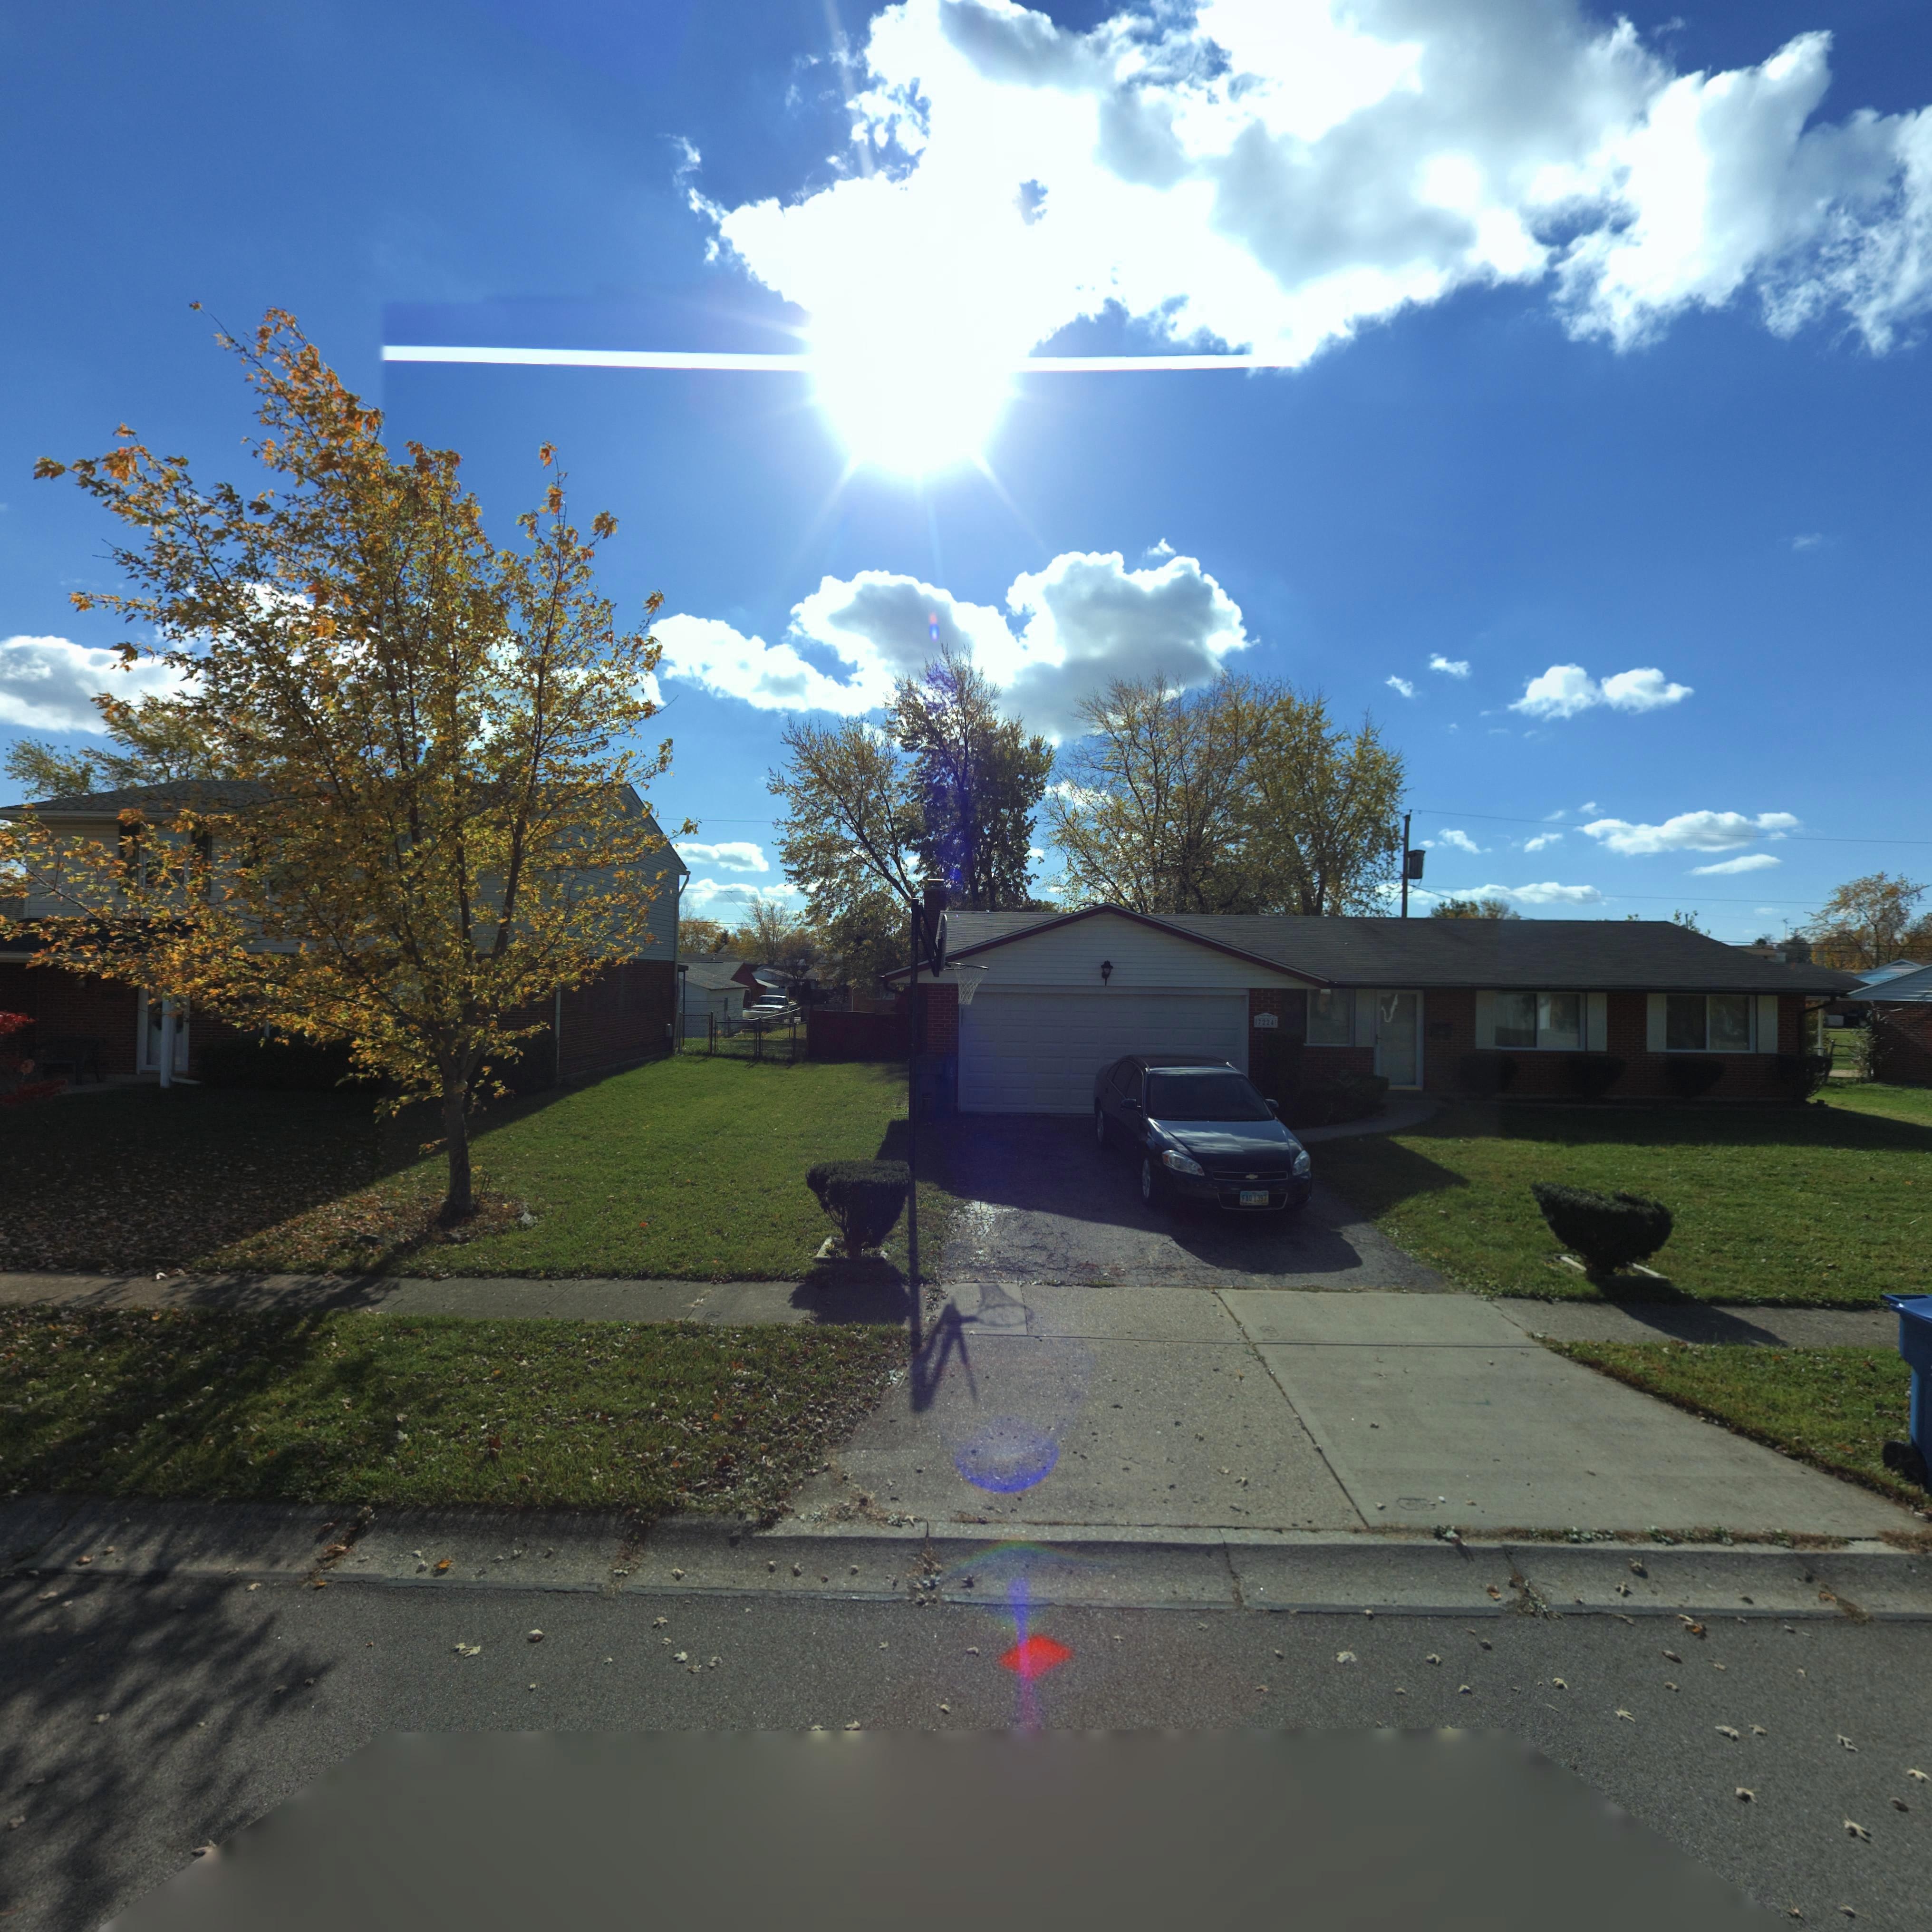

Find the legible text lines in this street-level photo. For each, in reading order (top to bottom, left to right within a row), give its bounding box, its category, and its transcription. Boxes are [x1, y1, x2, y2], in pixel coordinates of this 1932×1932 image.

[1257, 1018, 1275, 1026] StreetNumber: 7224